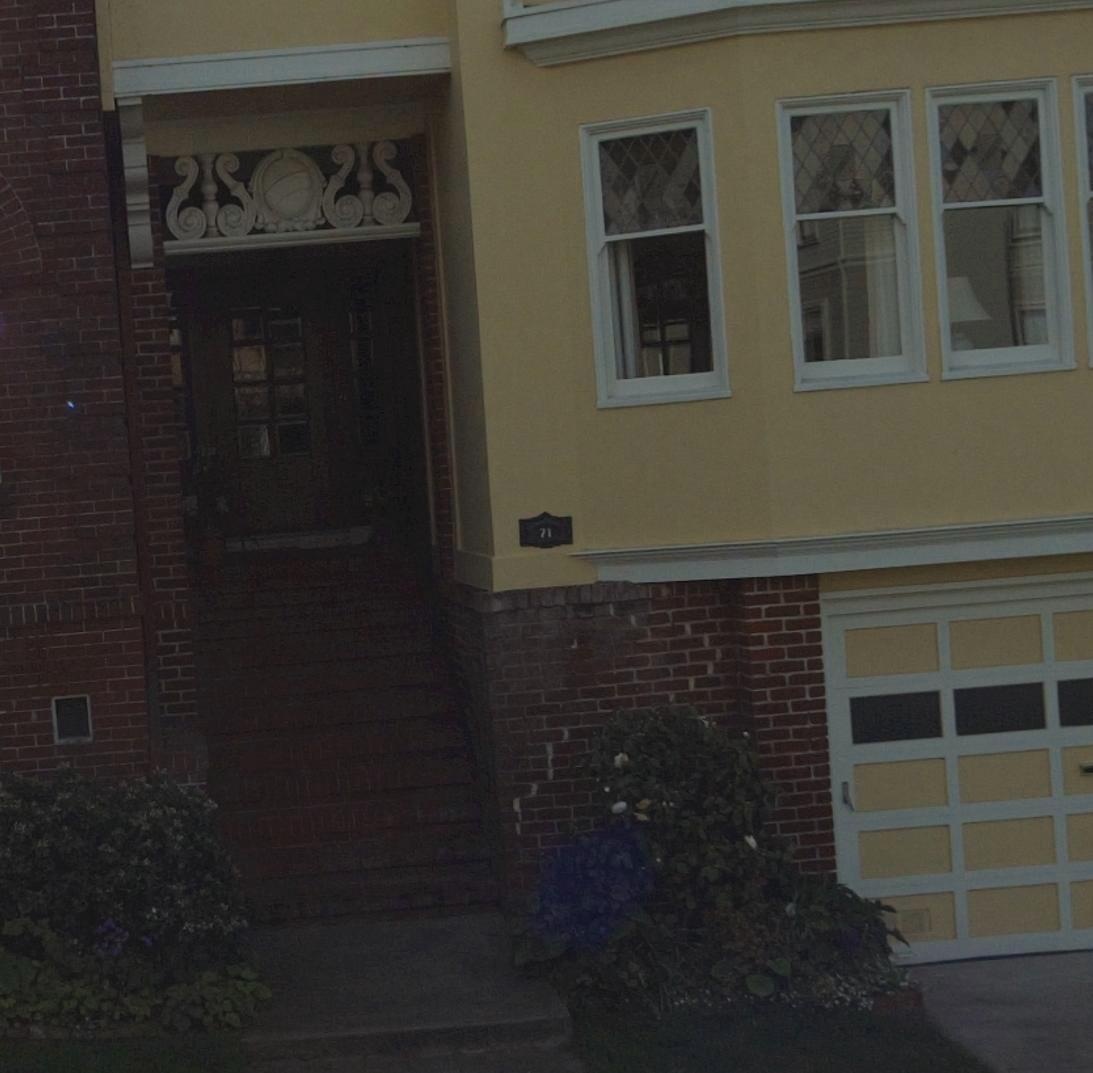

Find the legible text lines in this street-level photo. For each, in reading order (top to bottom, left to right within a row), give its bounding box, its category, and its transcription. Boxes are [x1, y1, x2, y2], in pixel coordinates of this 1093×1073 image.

[539, 527, 553, 539] StreetNumber: 71